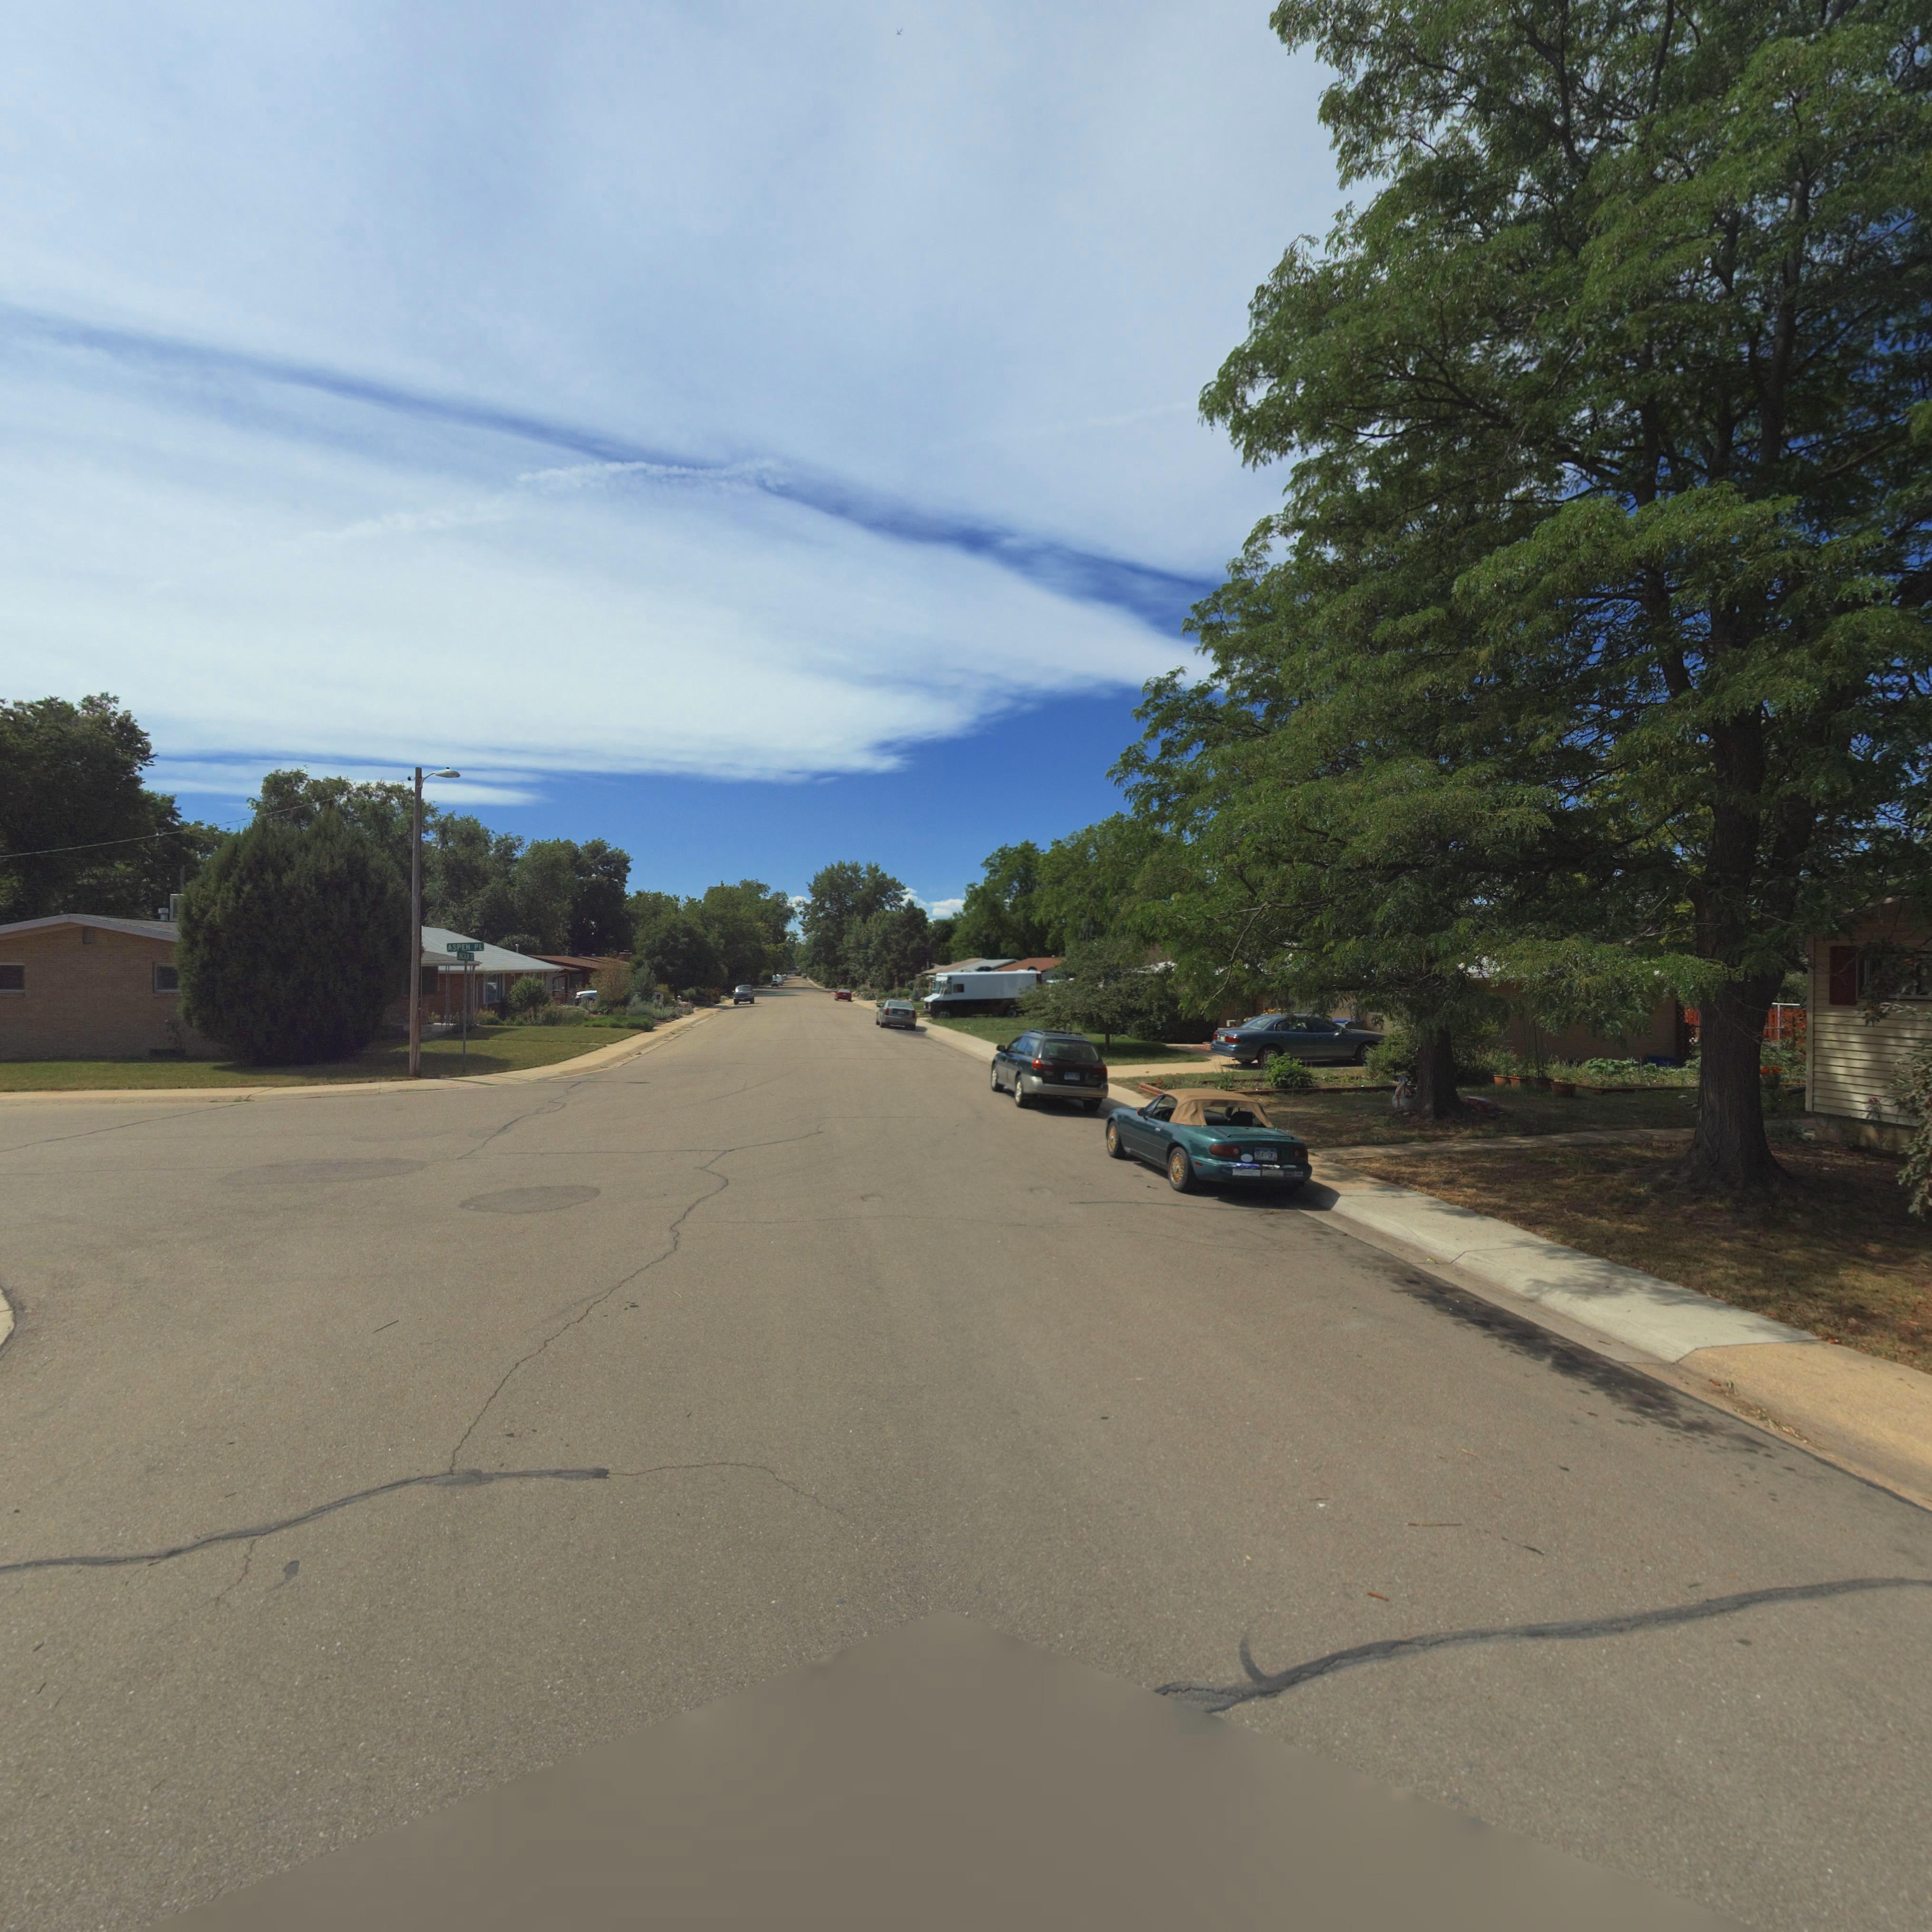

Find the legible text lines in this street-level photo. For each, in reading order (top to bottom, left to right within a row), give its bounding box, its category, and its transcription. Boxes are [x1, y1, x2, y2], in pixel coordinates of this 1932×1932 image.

[448, 943, 483, 950] StreetName: ASPEN PL
[457, 952, 474, 960] StreetName: ***COLN S*